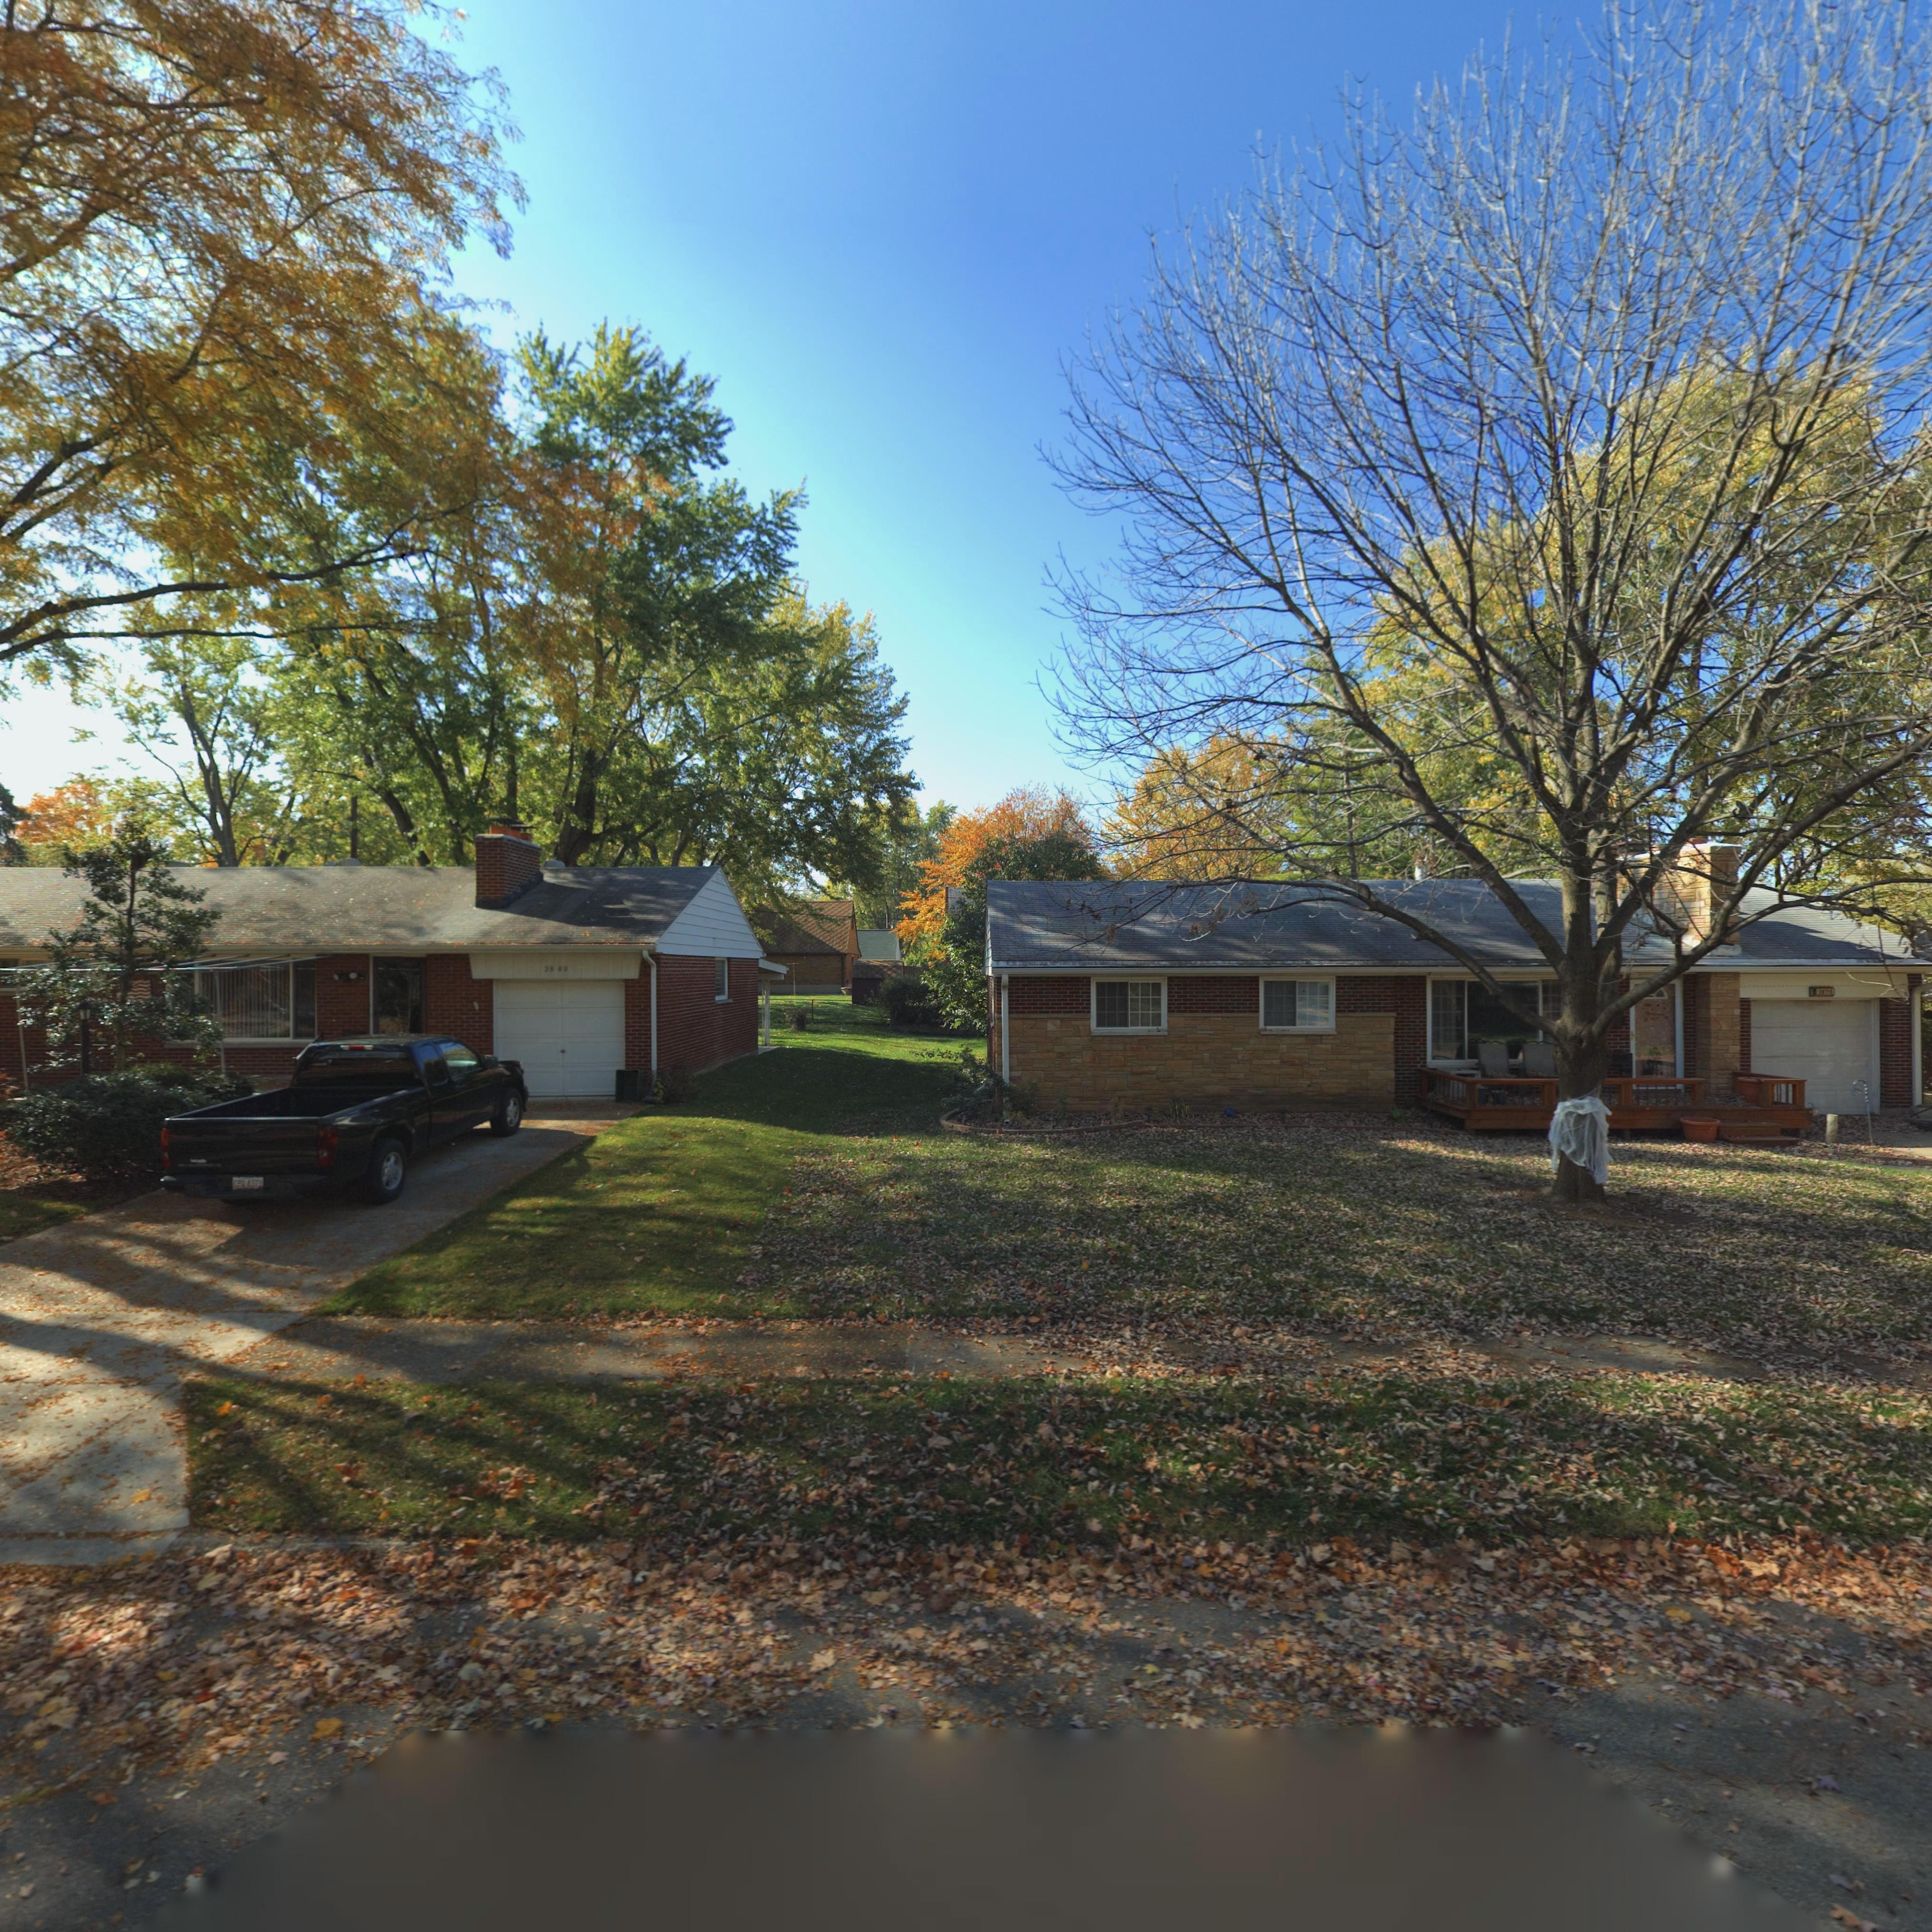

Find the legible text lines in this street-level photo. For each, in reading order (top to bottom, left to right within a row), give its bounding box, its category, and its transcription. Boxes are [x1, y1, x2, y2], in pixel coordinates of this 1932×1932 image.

[544, 965, 569, 973] StreetNumber: 38 89
[233, 1179, 262, 1188] None: CP* 437*